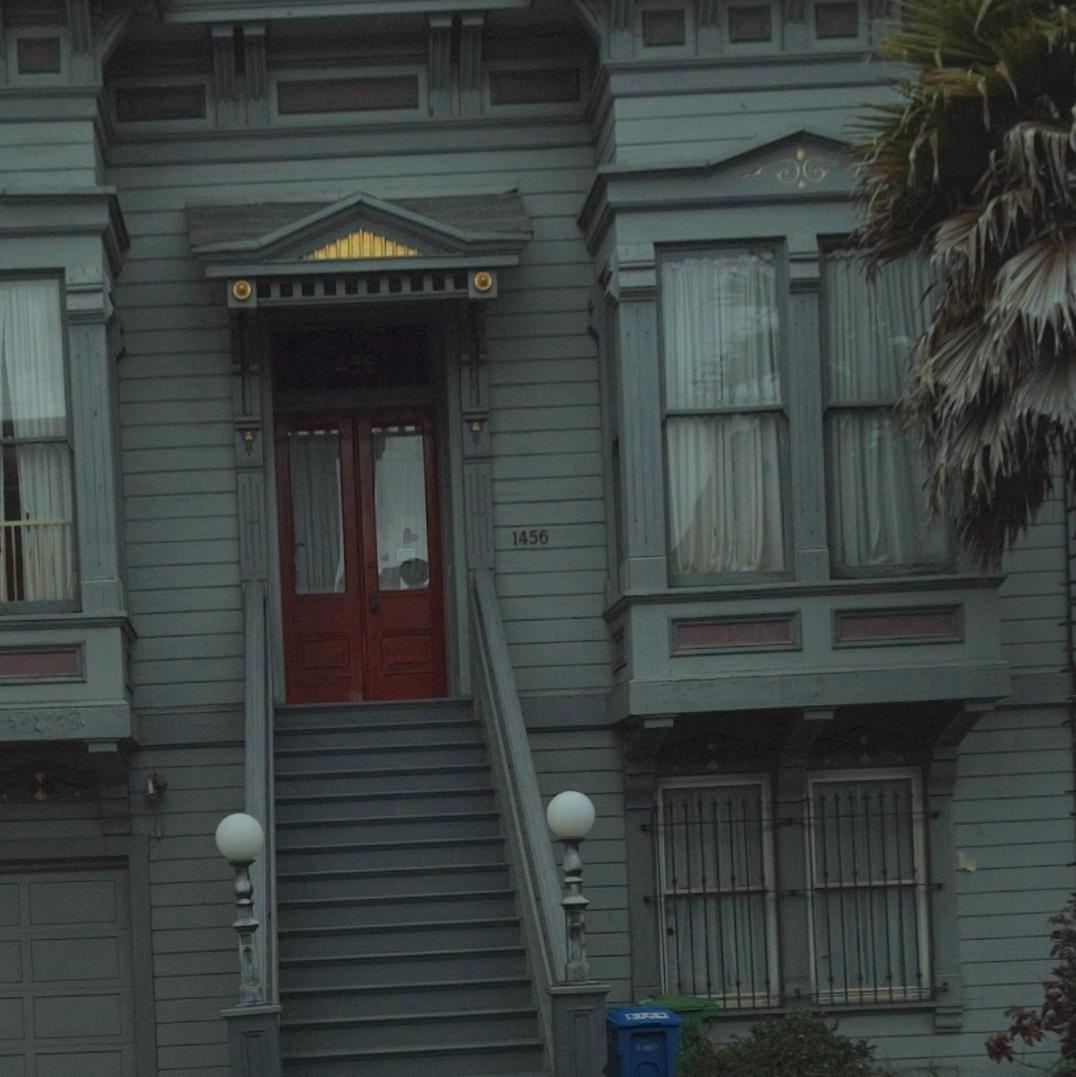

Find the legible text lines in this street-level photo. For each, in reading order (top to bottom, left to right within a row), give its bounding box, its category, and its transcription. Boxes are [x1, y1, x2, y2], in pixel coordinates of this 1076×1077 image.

[512, 529, 550, 547] StreetNumber: 1456